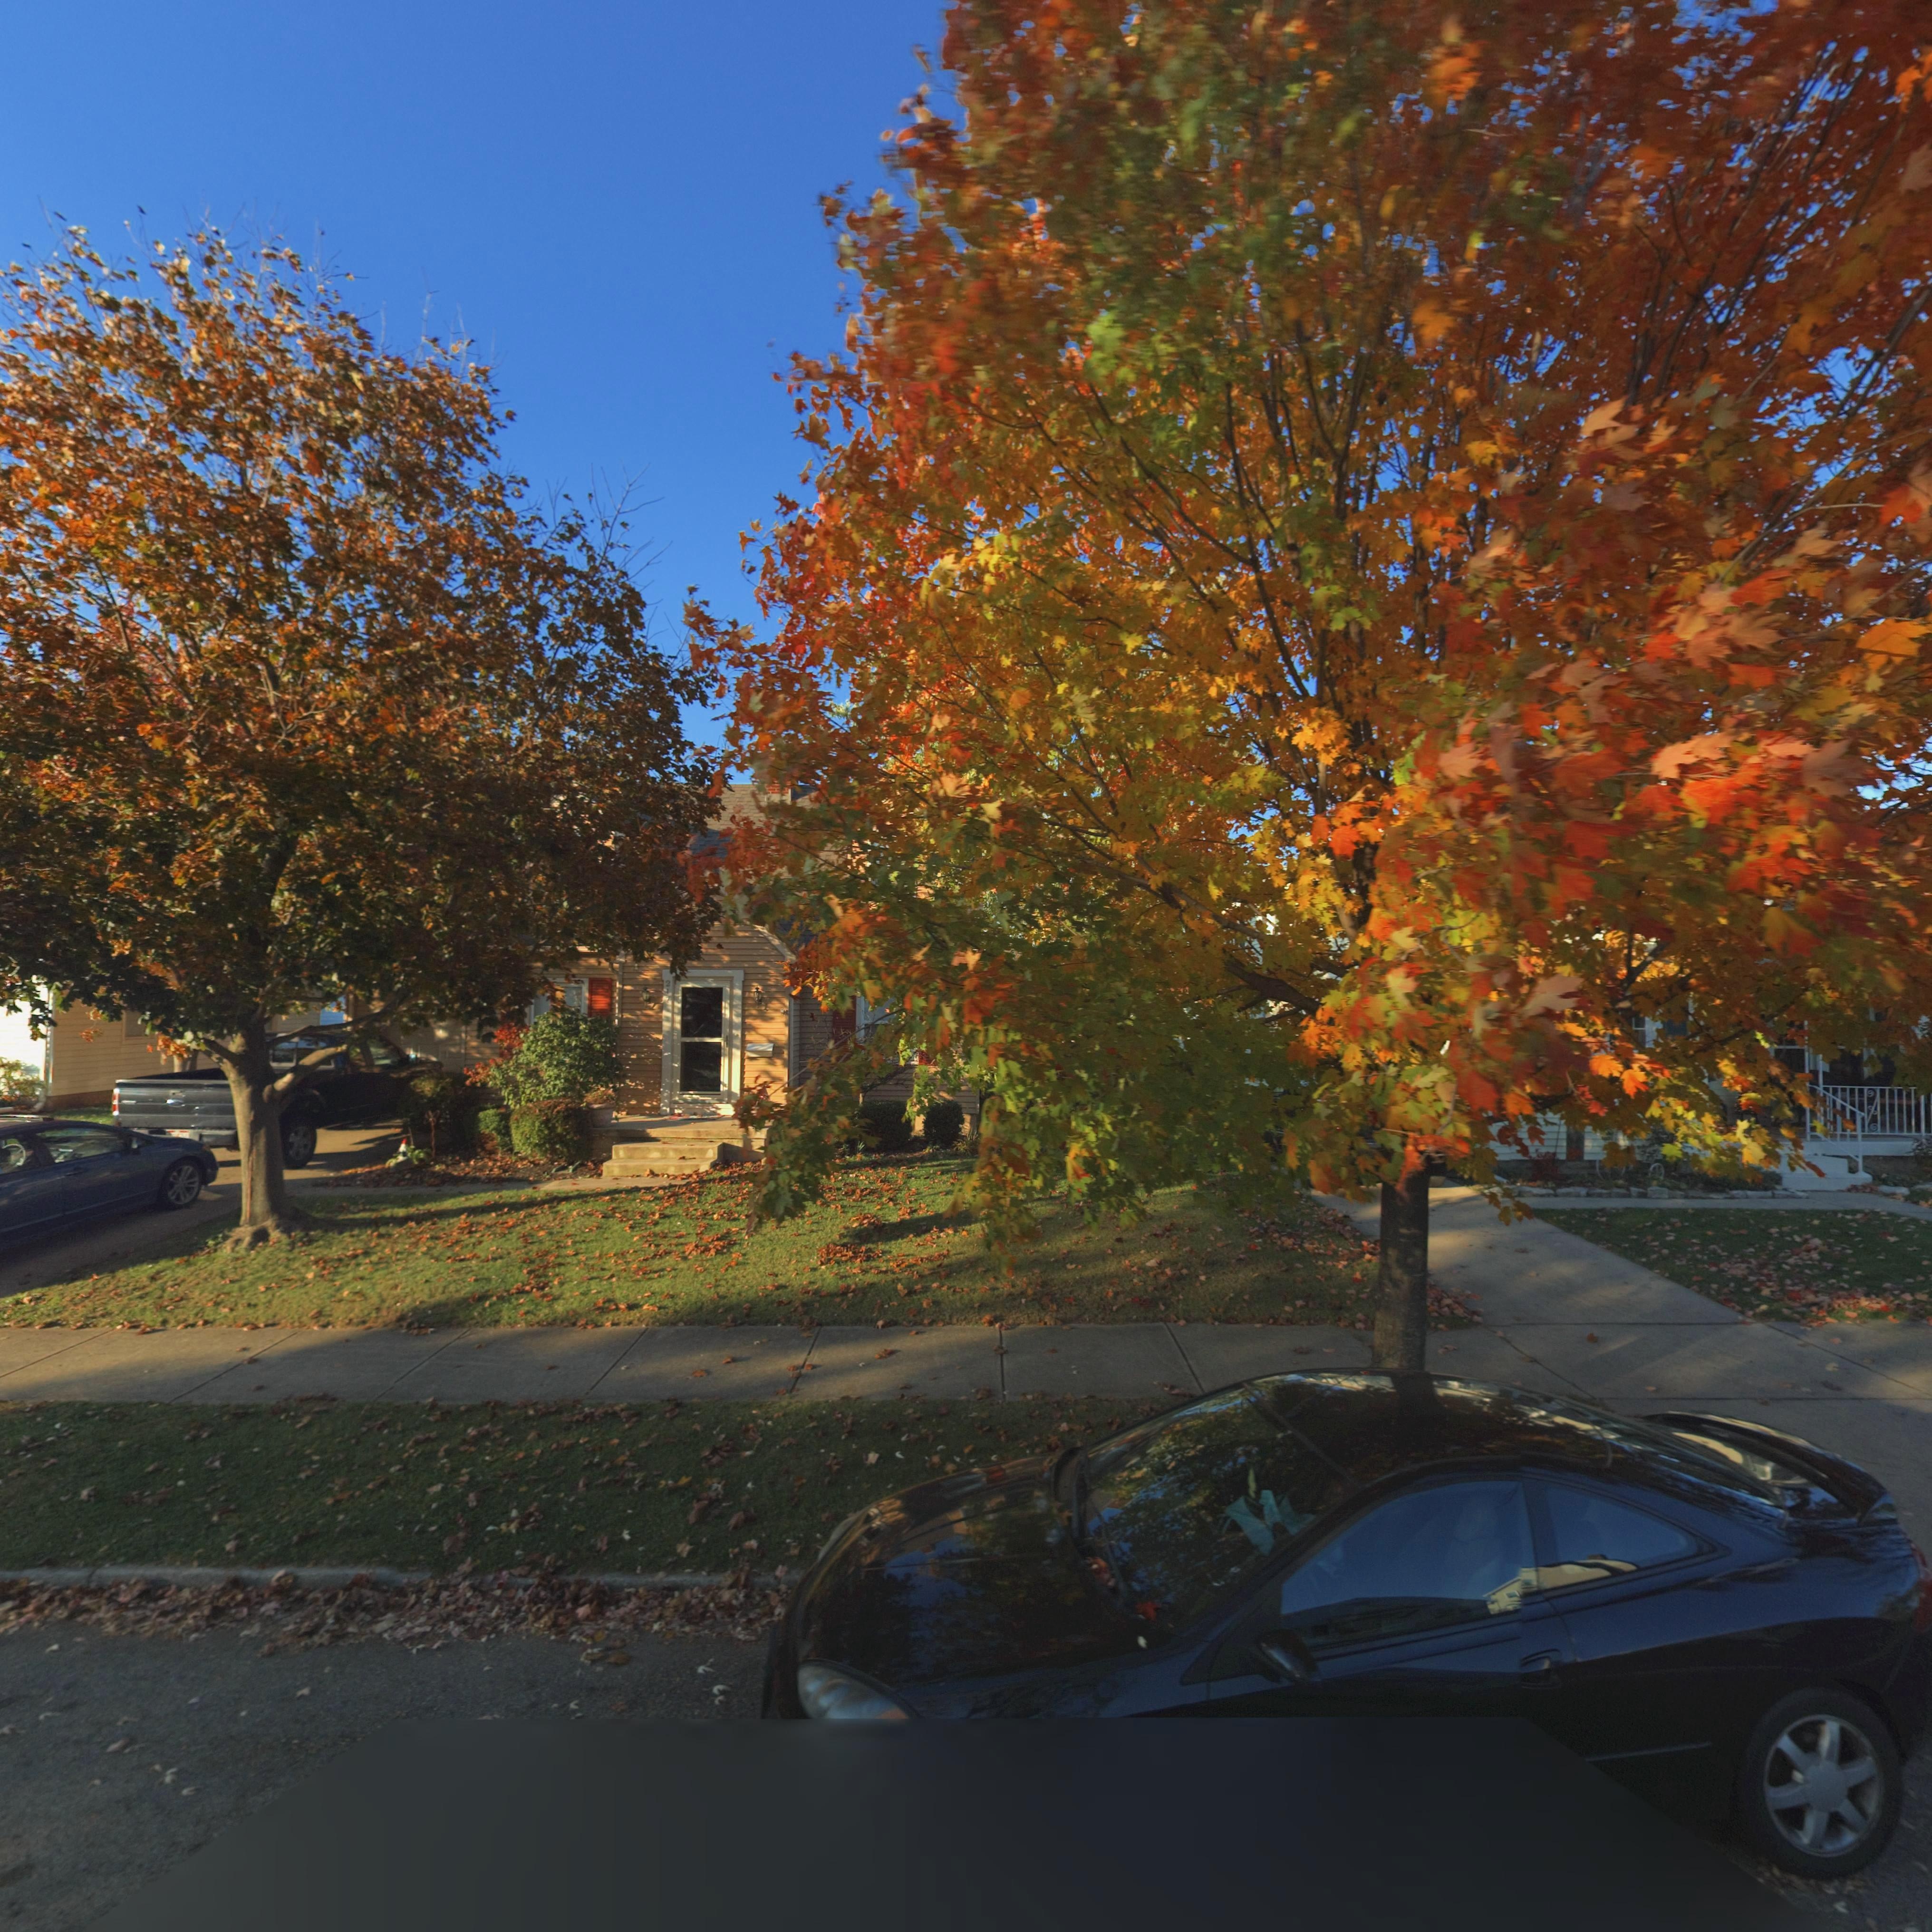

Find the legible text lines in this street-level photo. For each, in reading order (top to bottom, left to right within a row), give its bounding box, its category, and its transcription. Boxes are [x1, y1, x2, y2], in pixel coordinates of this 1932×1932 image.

[665, 979, 671, 1004] StreetNumber: 217